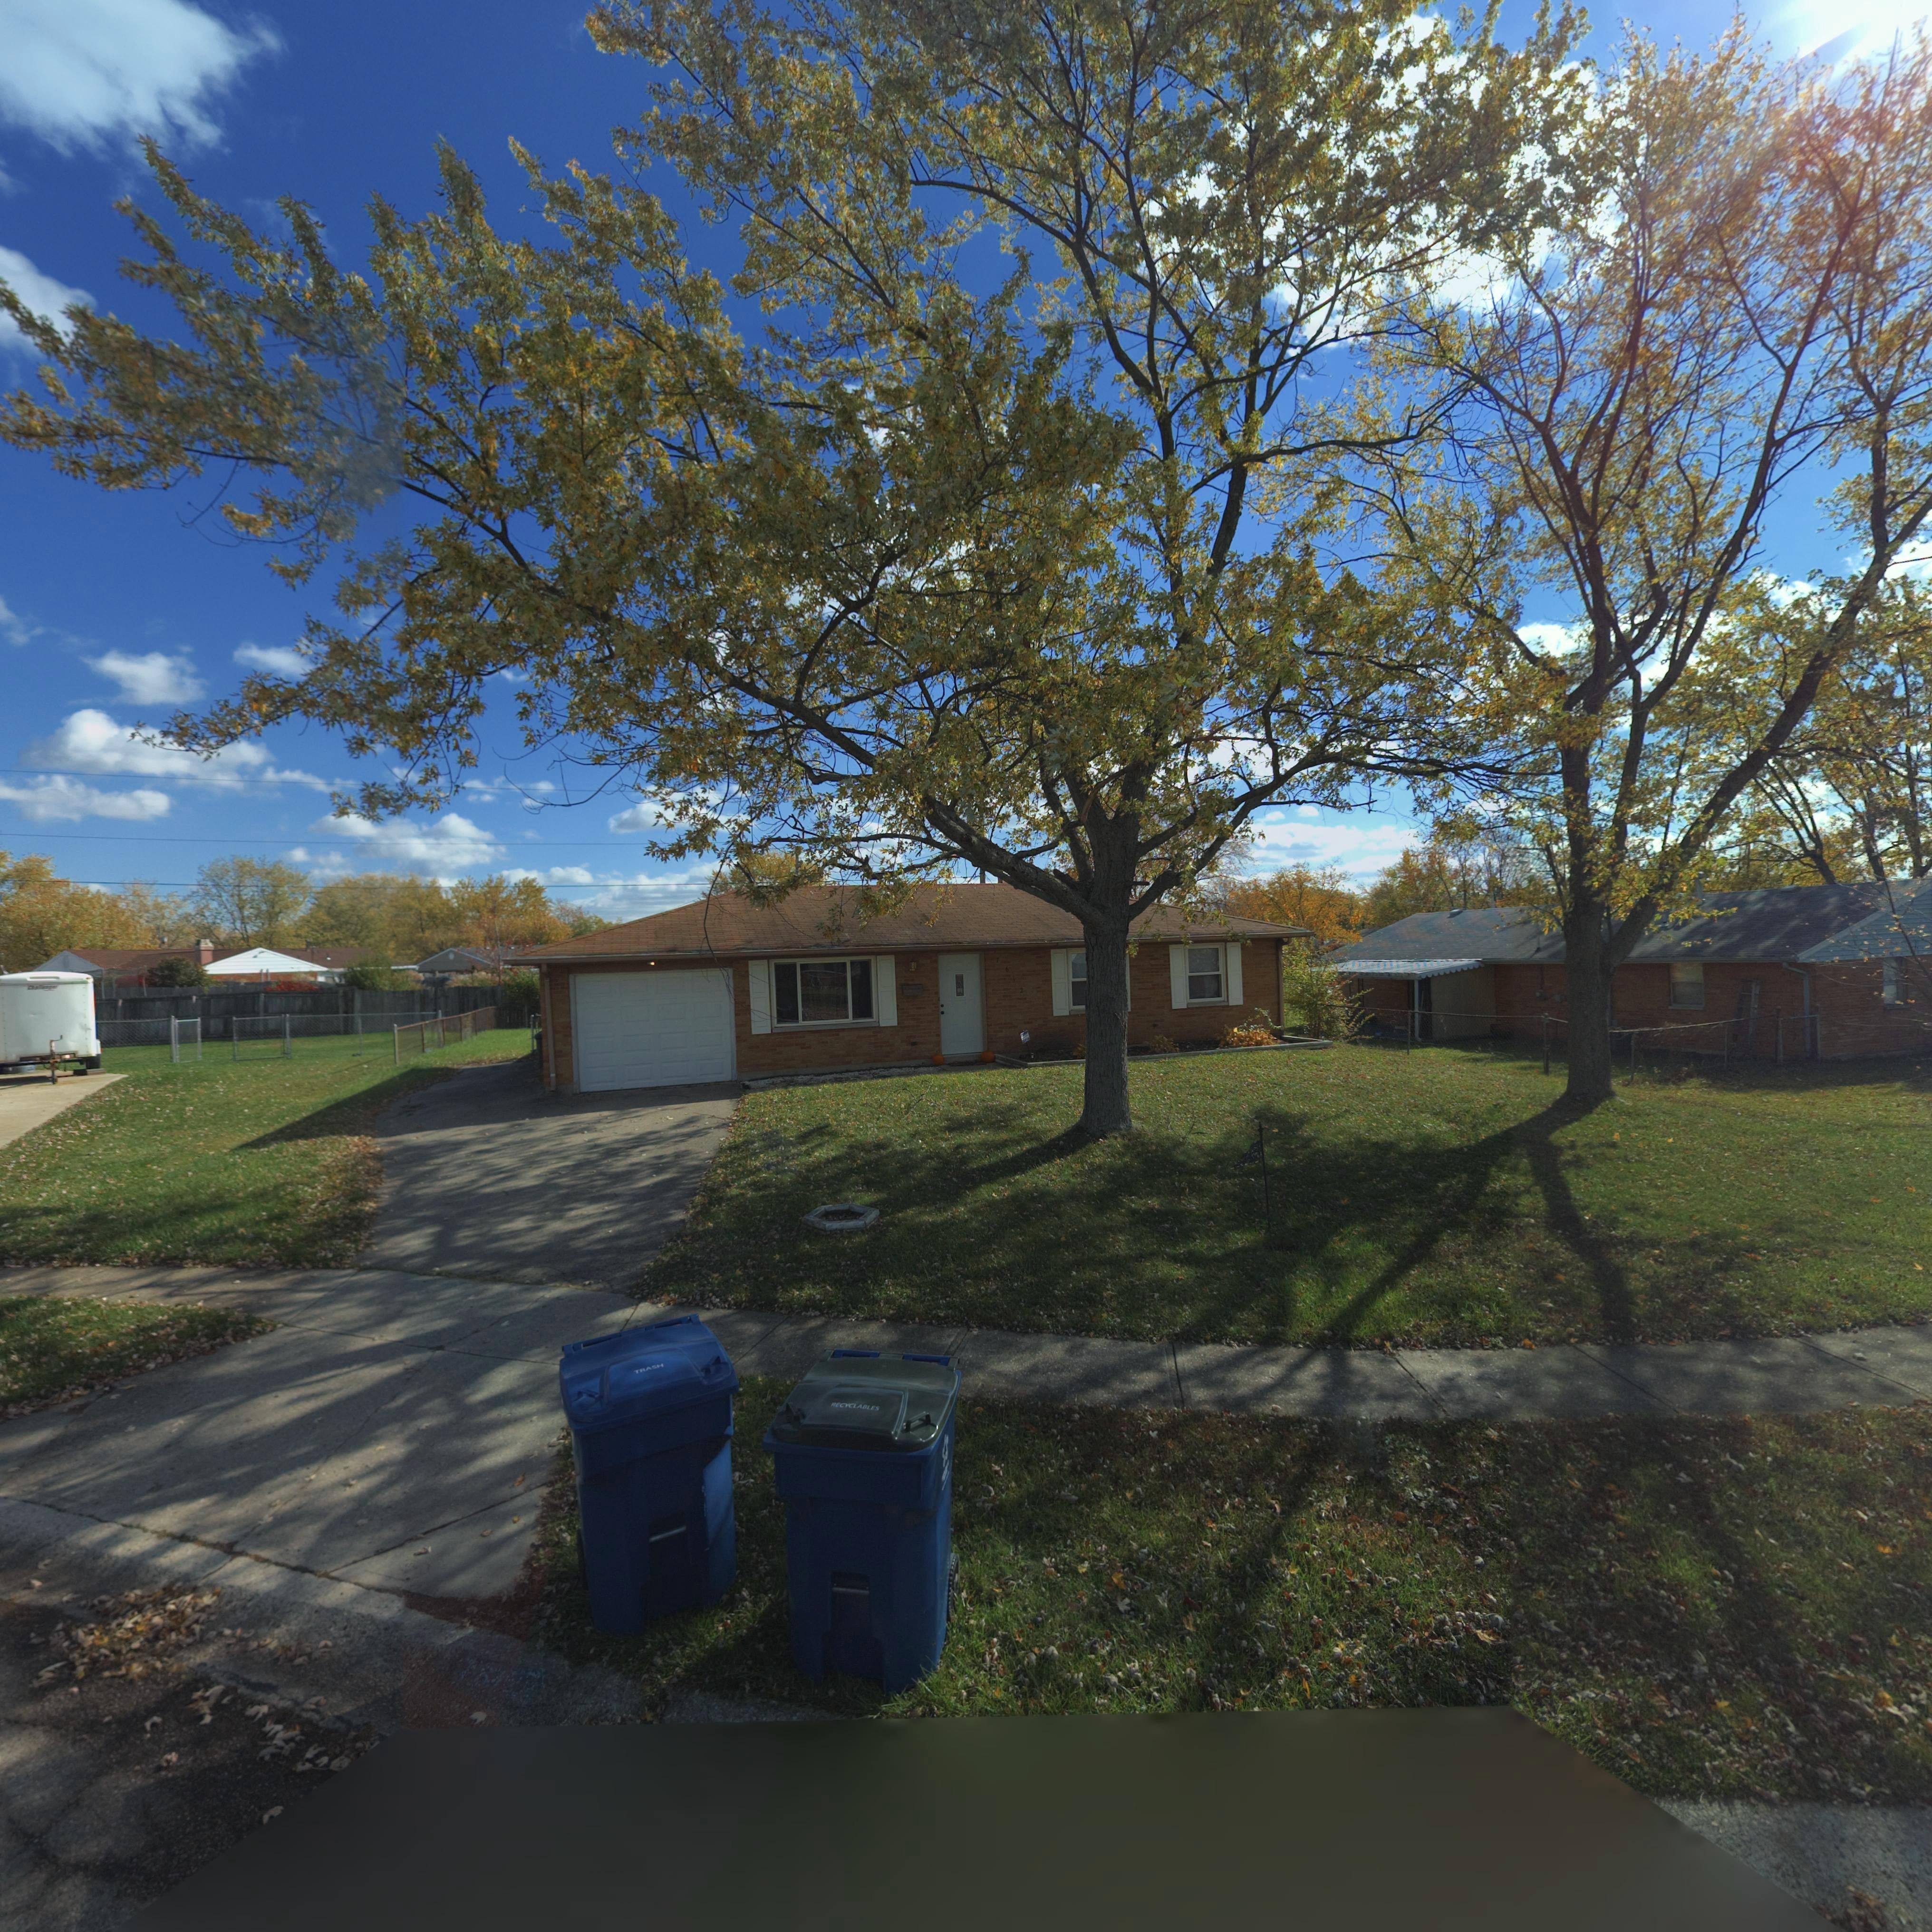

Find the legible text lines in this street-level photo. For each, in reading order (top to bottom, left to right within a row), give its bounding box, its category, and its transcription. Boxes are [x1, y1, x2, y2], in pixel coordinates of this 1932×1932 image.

[995, 957, 1024, 994] StreetNumber: 7612